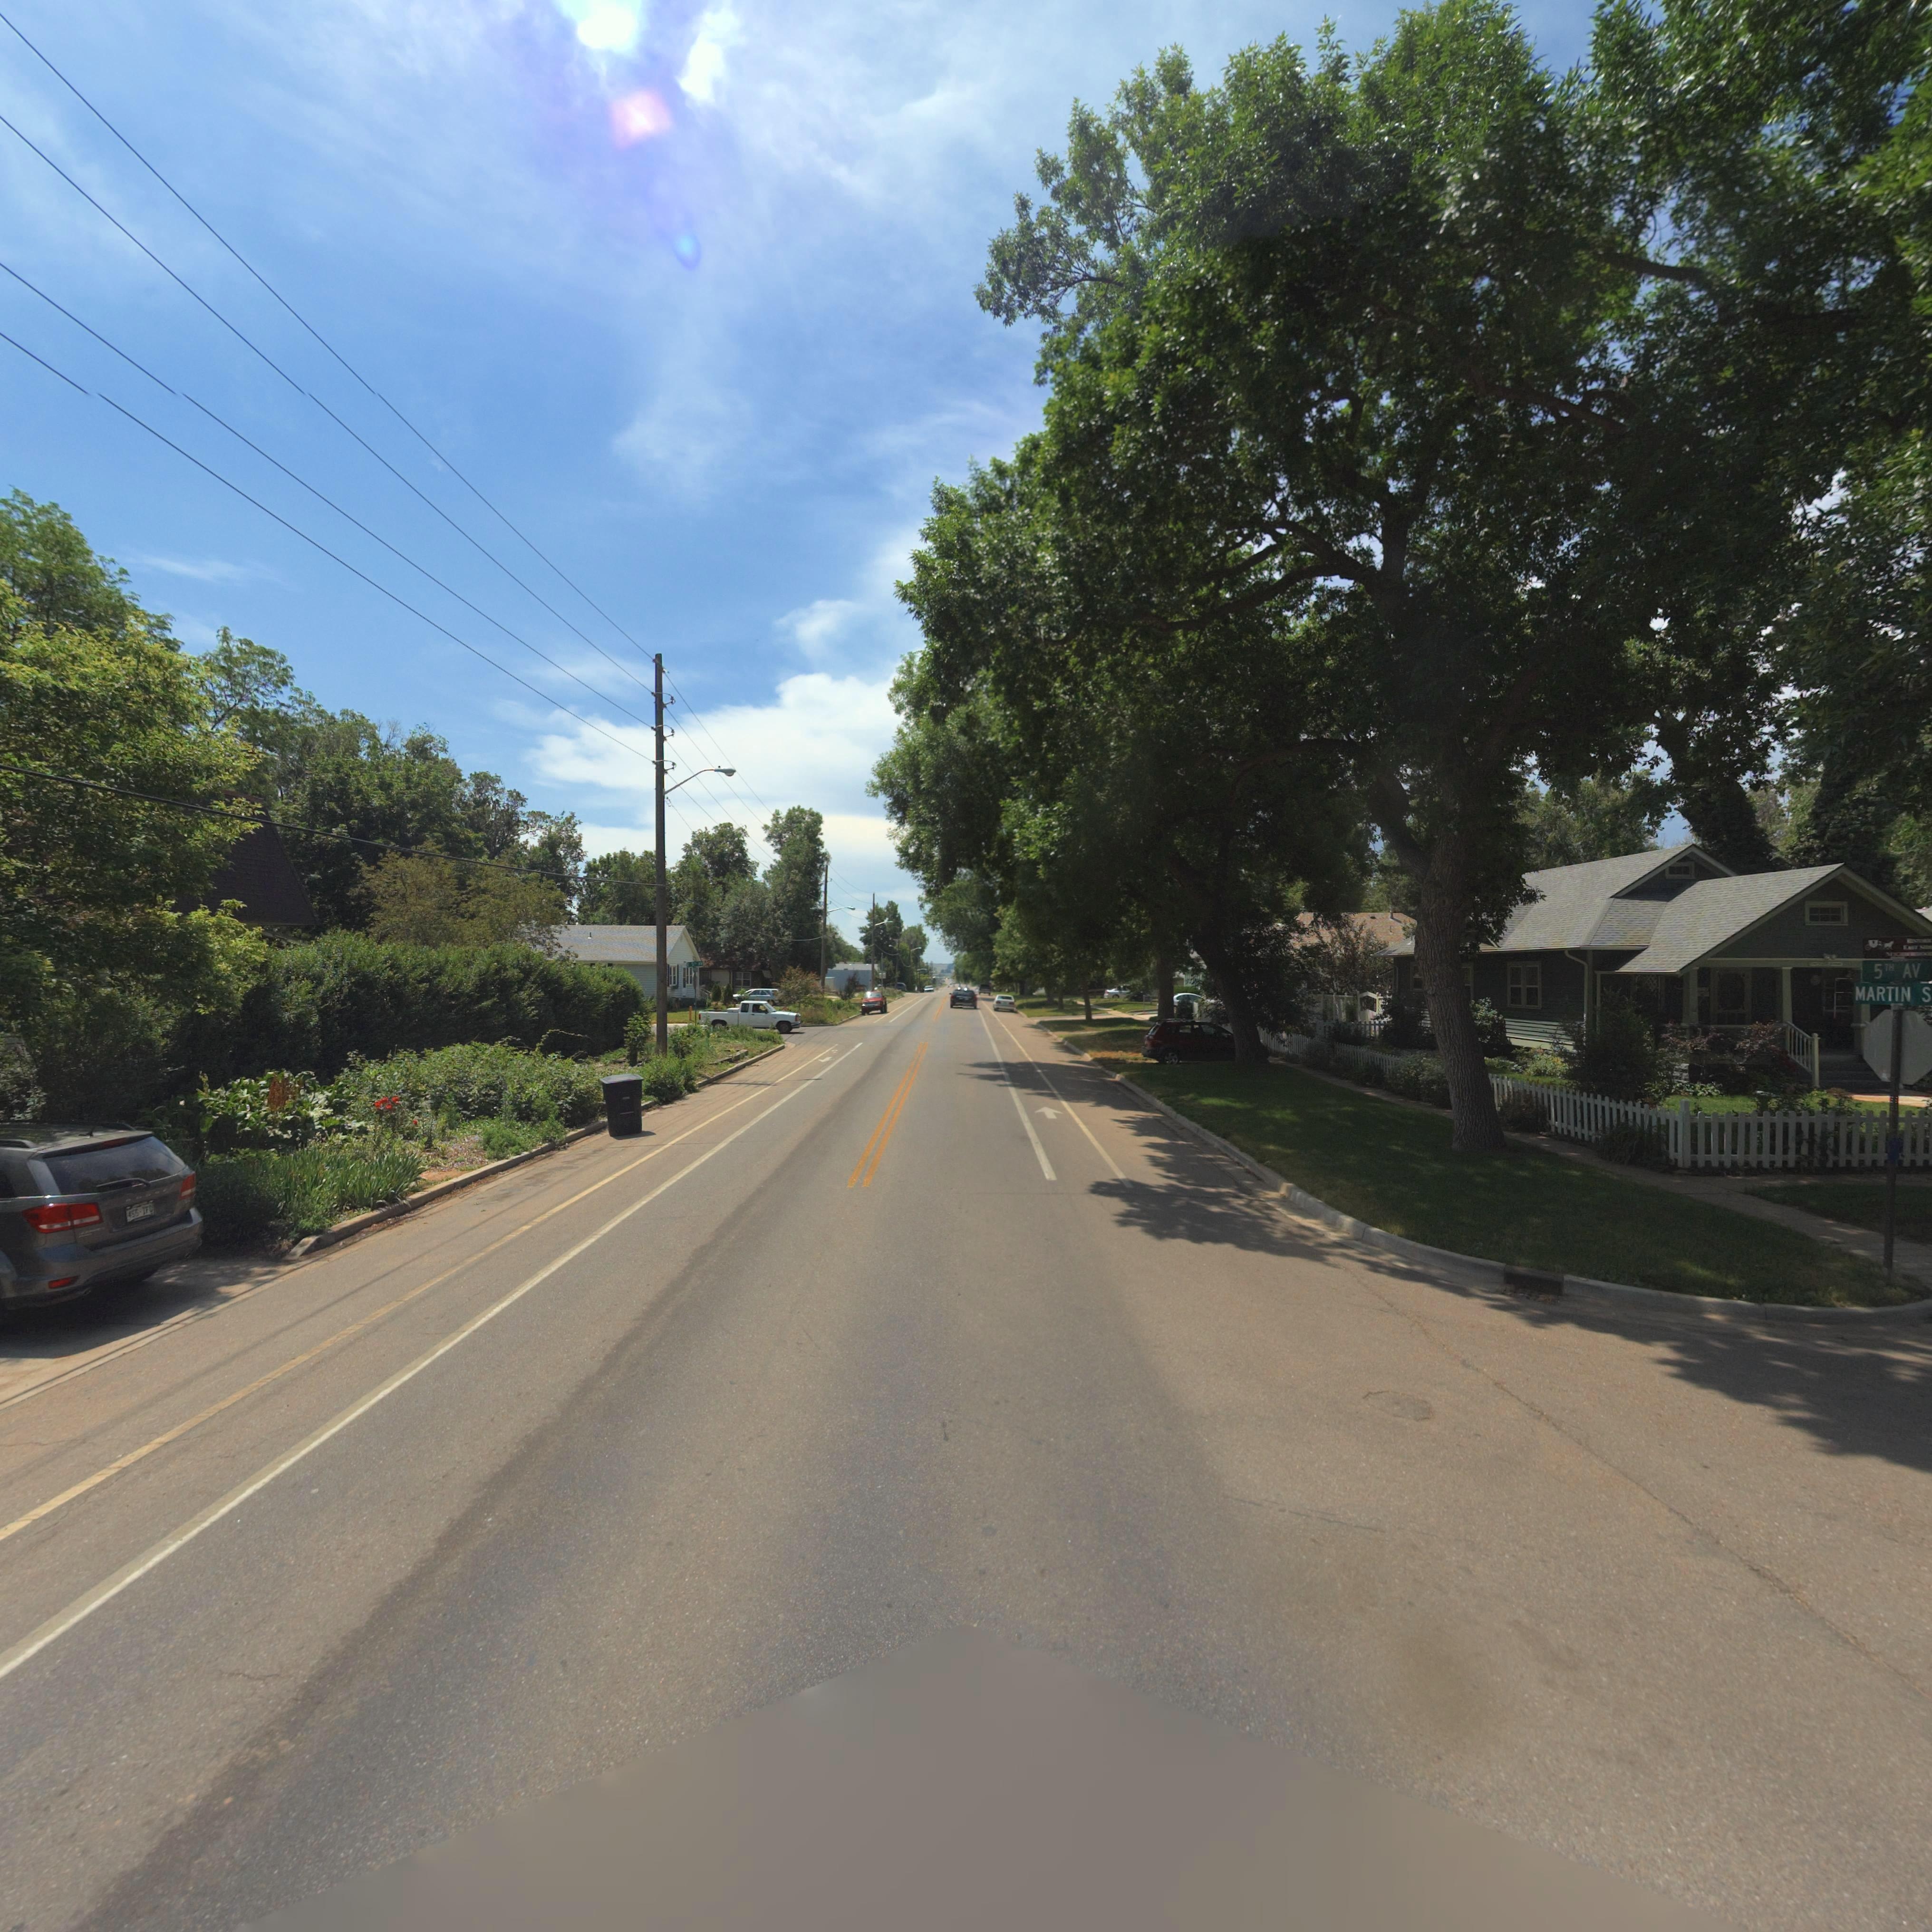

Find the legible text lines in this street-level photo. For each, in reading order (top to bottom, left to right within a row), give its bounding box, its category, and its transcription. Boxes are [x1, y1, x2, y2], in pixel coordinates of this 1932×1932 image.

[687, 961, 702, 966] StreetName: E 9** **
[1874, 963, 1921, 979] StreetName: 5TH AV
[1855, 986, 1931, 1003] StreetName: MARTIN S